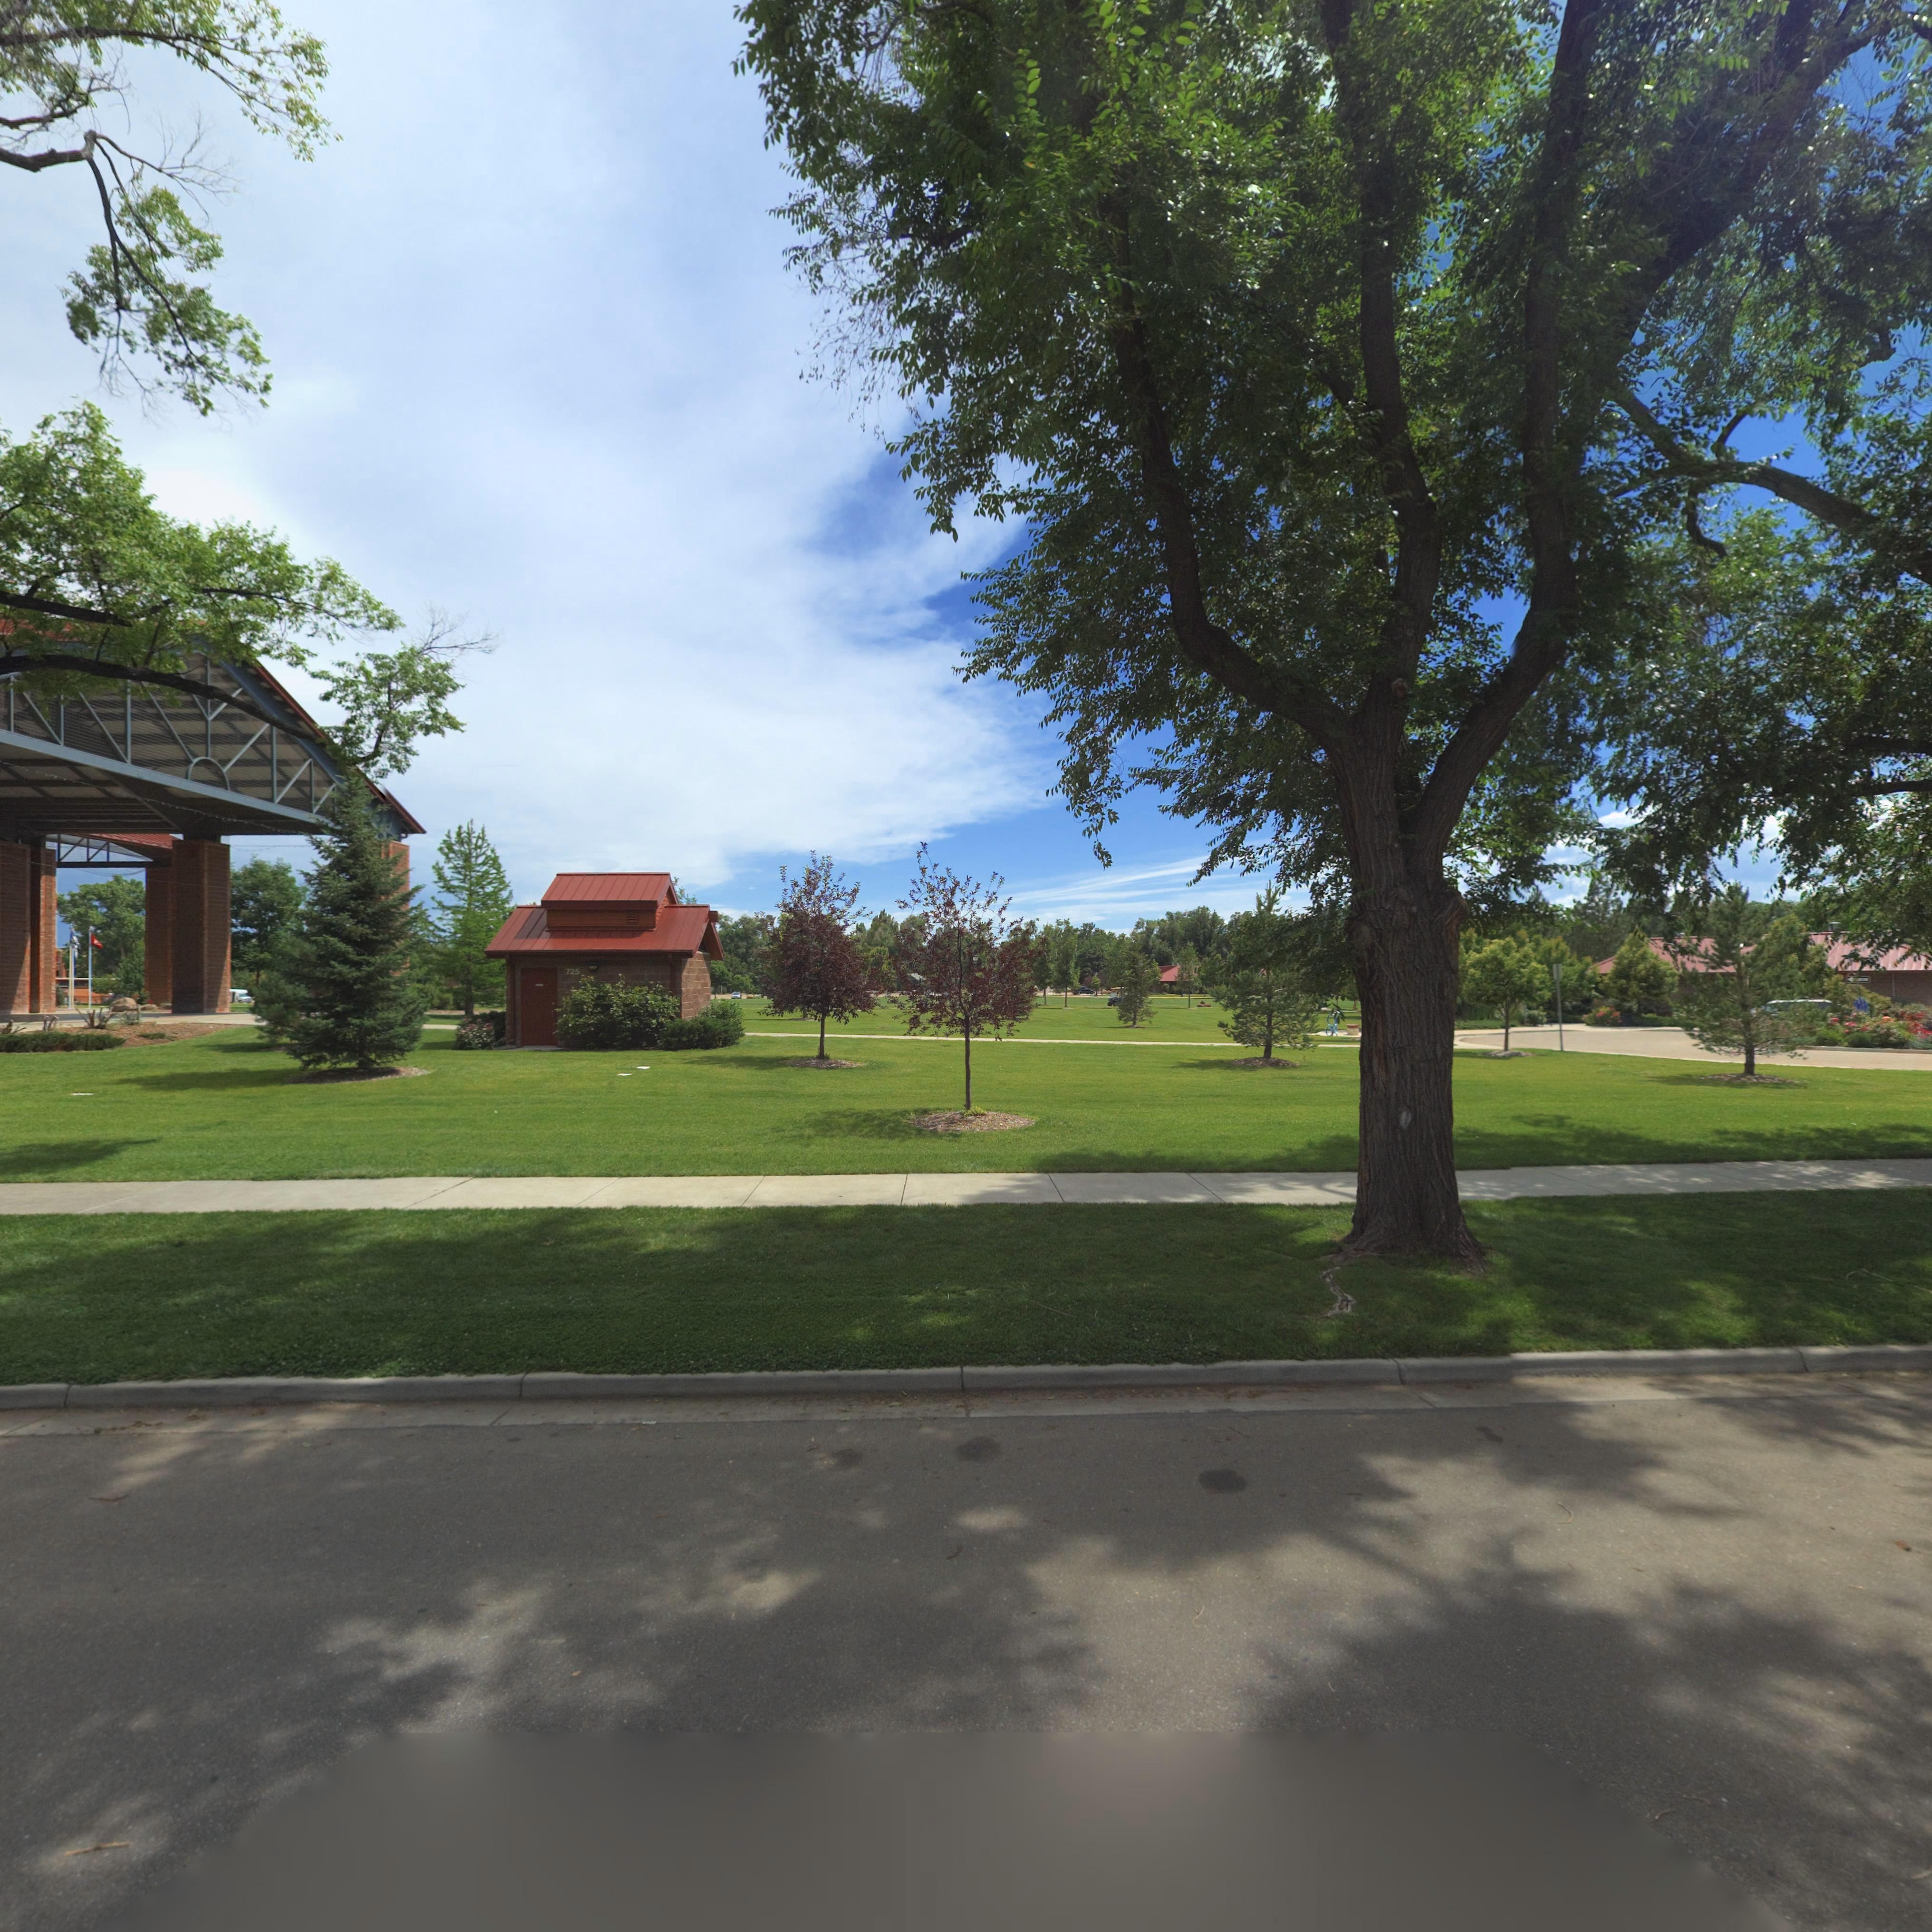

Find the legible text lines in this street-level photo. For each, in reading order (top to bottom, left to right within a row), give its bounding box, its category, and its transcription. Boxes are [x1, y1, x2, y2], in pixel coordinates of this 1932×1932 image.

[566, 967, 579, 975] StreetNumber: 725